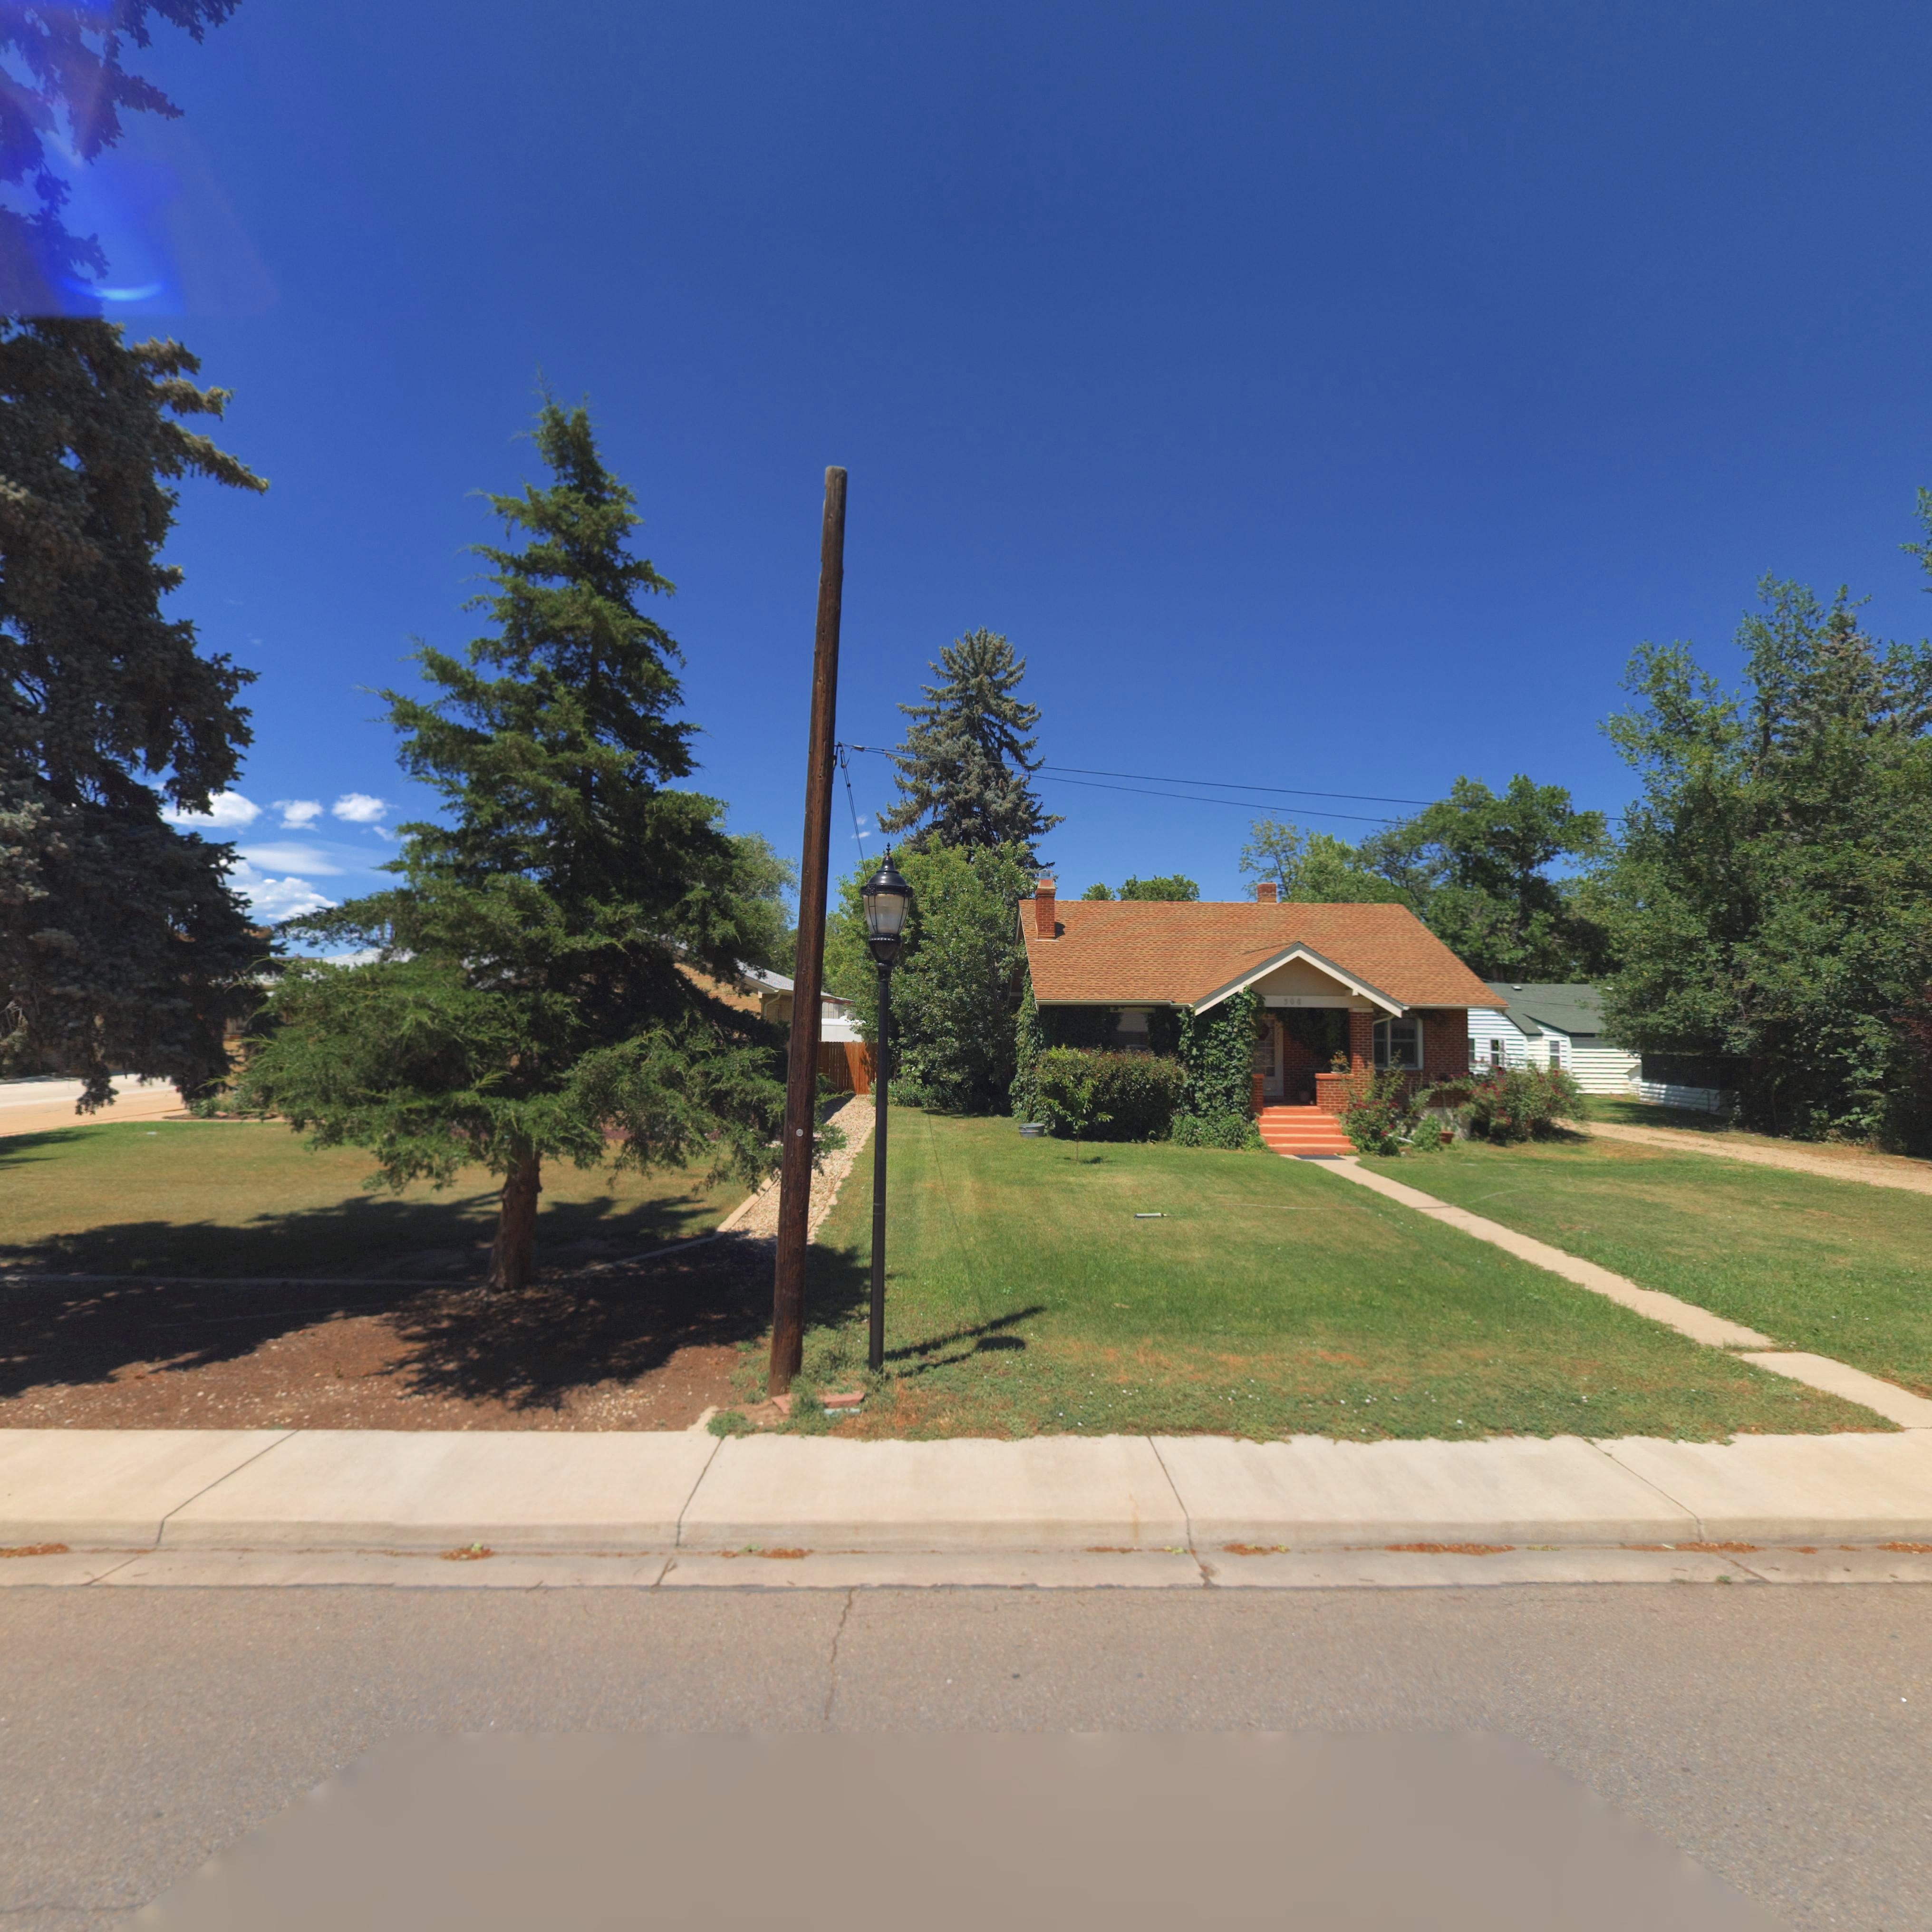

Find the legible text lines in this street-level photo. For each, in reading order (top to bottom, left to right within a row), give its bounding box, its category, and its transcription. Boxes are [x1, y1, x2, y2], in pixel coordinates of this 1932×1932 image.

[1284, 998, 1301, 1005] StreetNumber: 30*